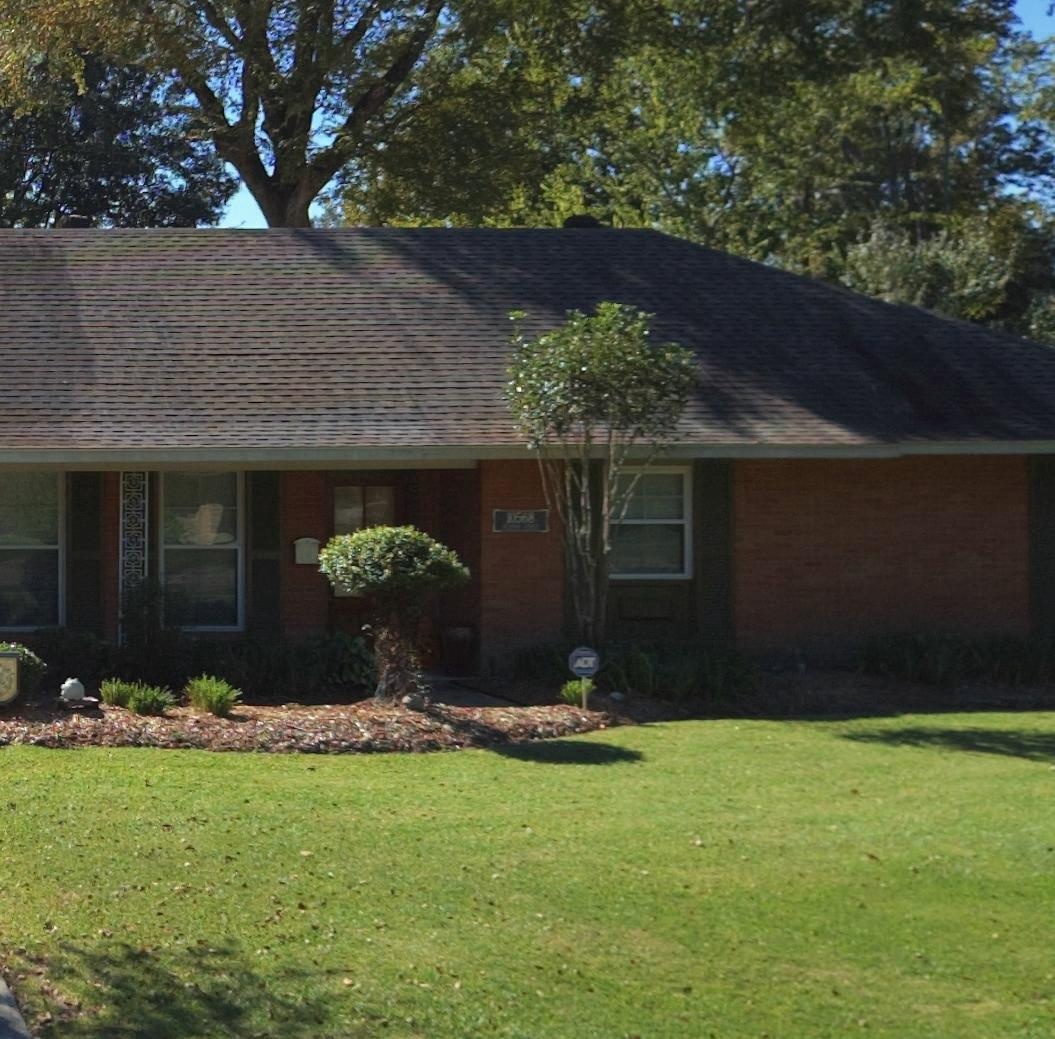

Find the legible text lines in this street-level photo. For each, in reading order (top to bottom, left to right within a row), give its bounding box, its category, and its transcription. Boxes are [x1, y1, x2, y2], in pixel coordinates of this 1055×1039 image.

[504, 509, 537, 525] StreetNumber: 10584
[572, 655, 597, 669] None: ADT